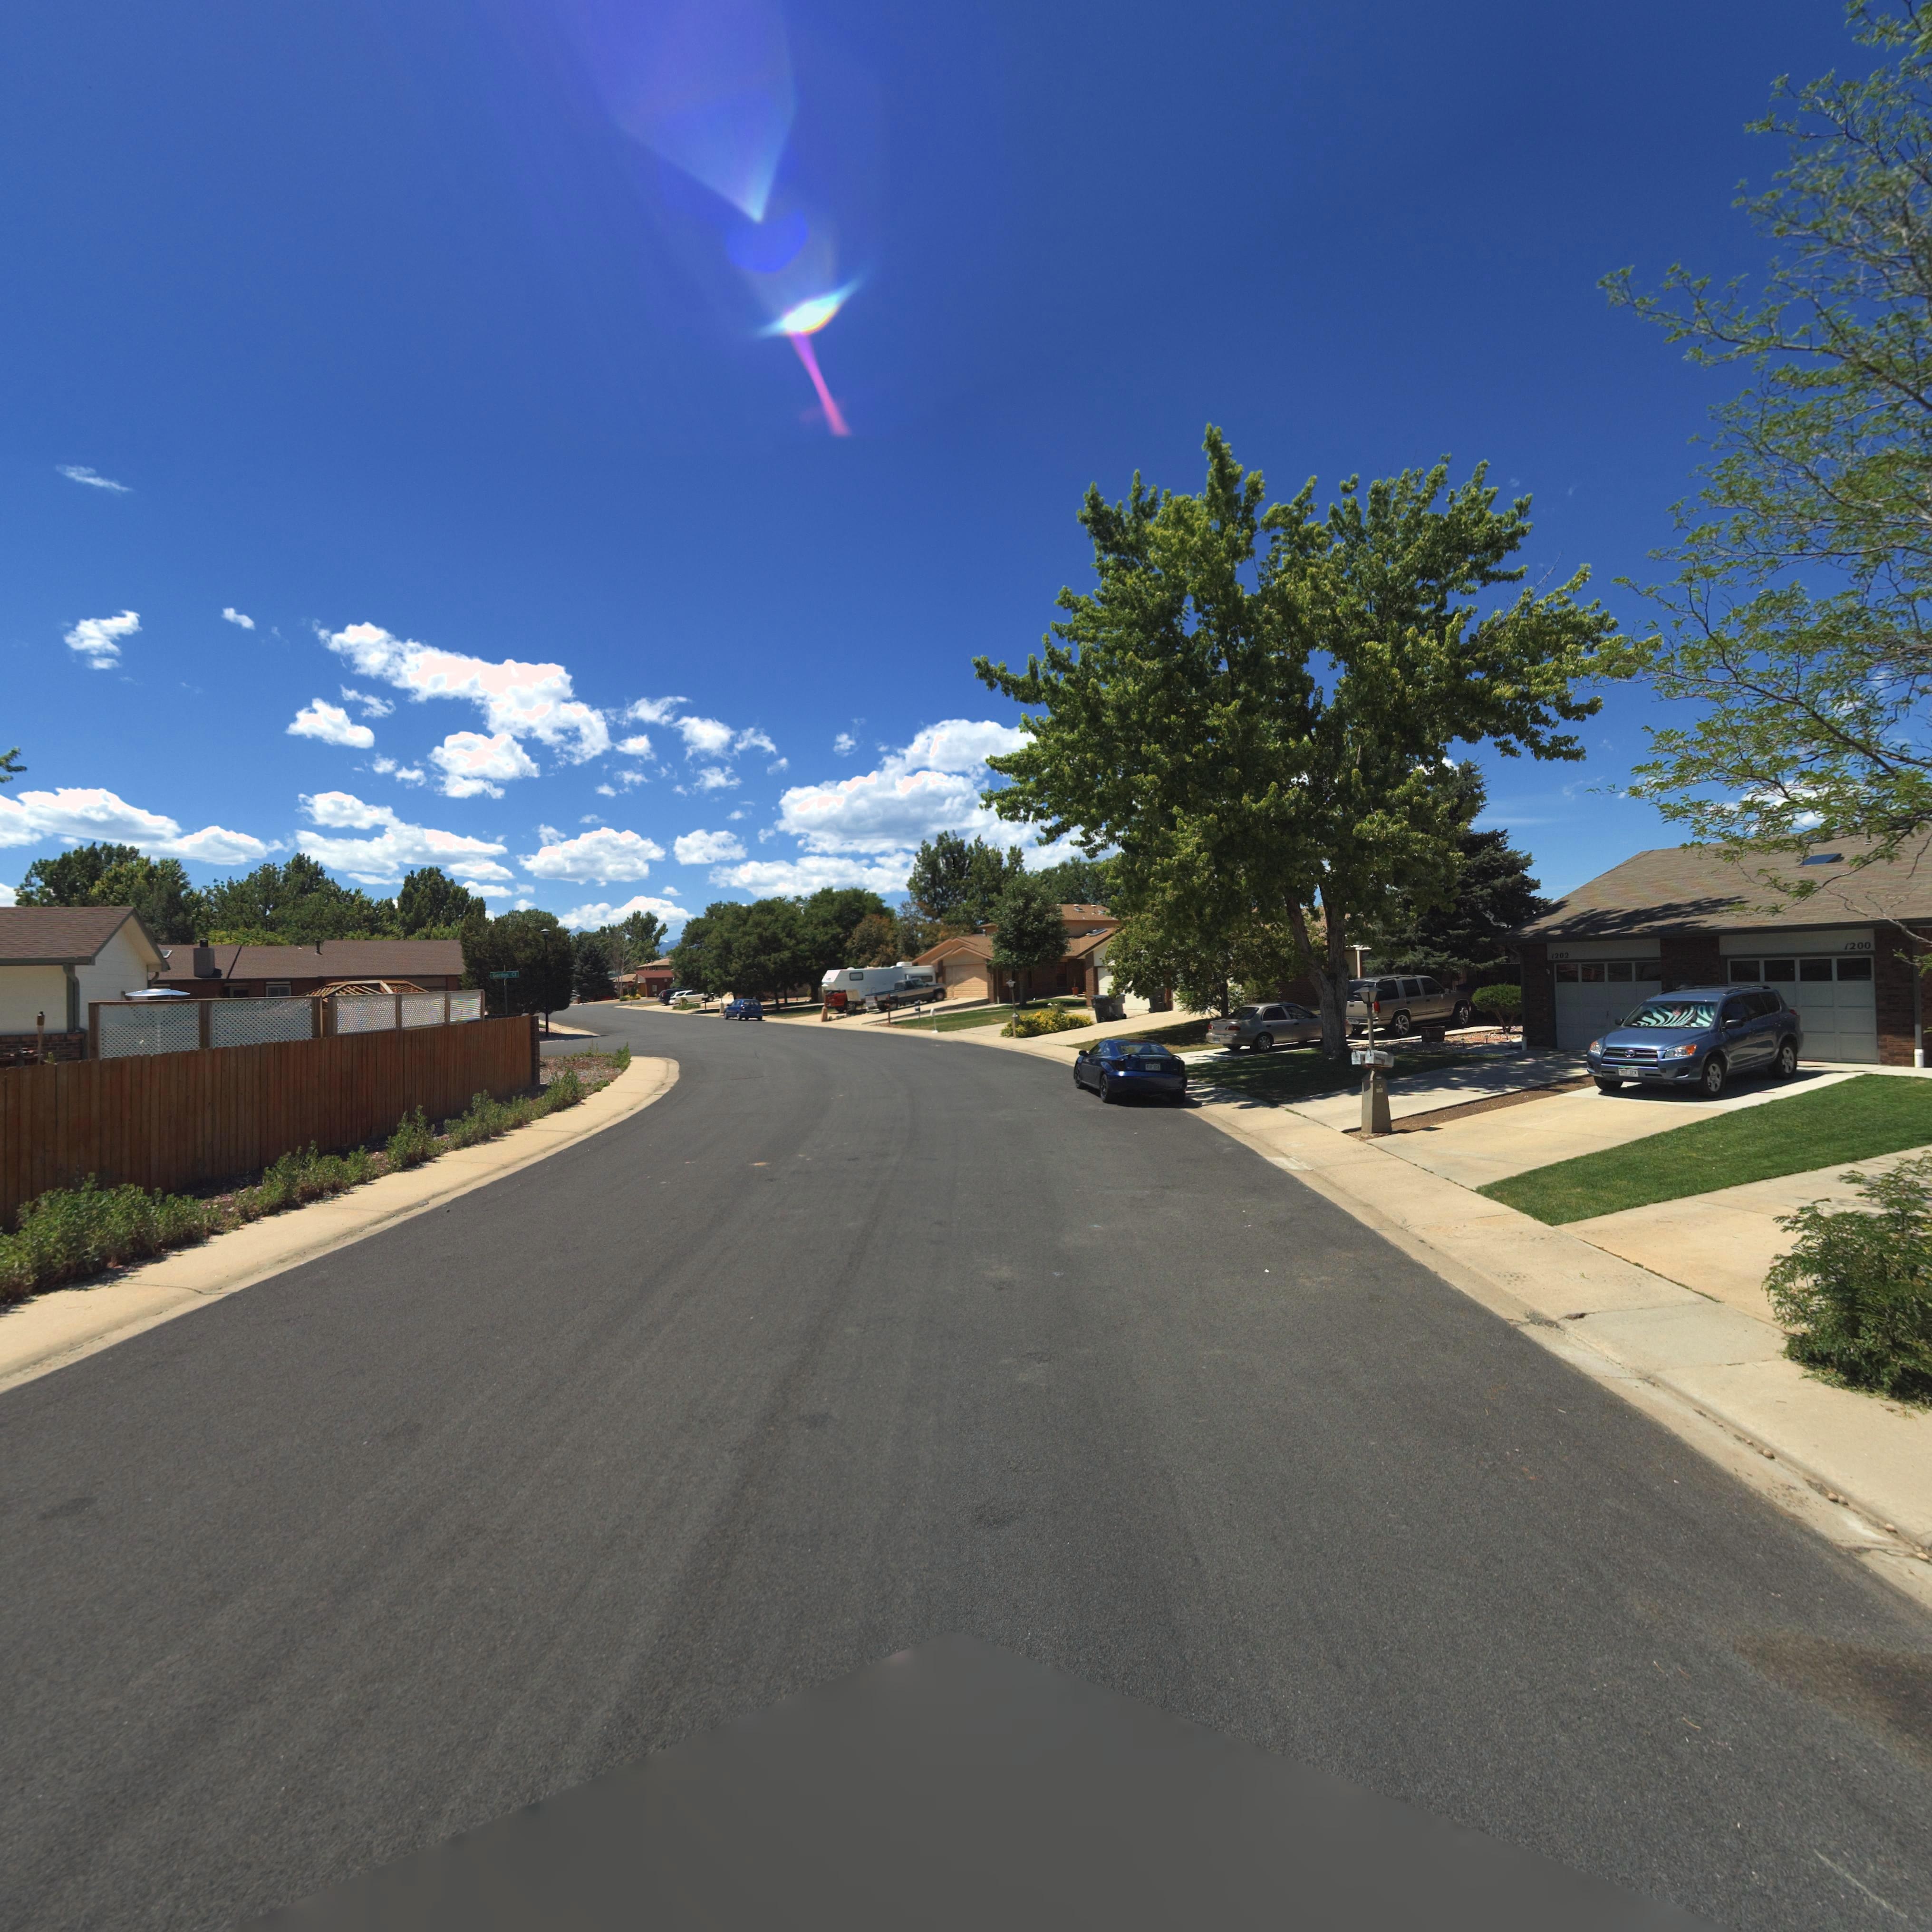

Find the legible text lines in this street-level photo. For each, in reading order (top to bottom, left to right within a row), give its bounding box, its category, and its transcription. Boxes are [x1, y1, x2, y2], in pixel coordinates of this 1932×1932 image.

[1843, 941, 1871, 950] None: 1200
[1551, 952, 1569, 959] StreetNumber: 1202
[493, 972, 516, 978] StreetName: Gordon C*